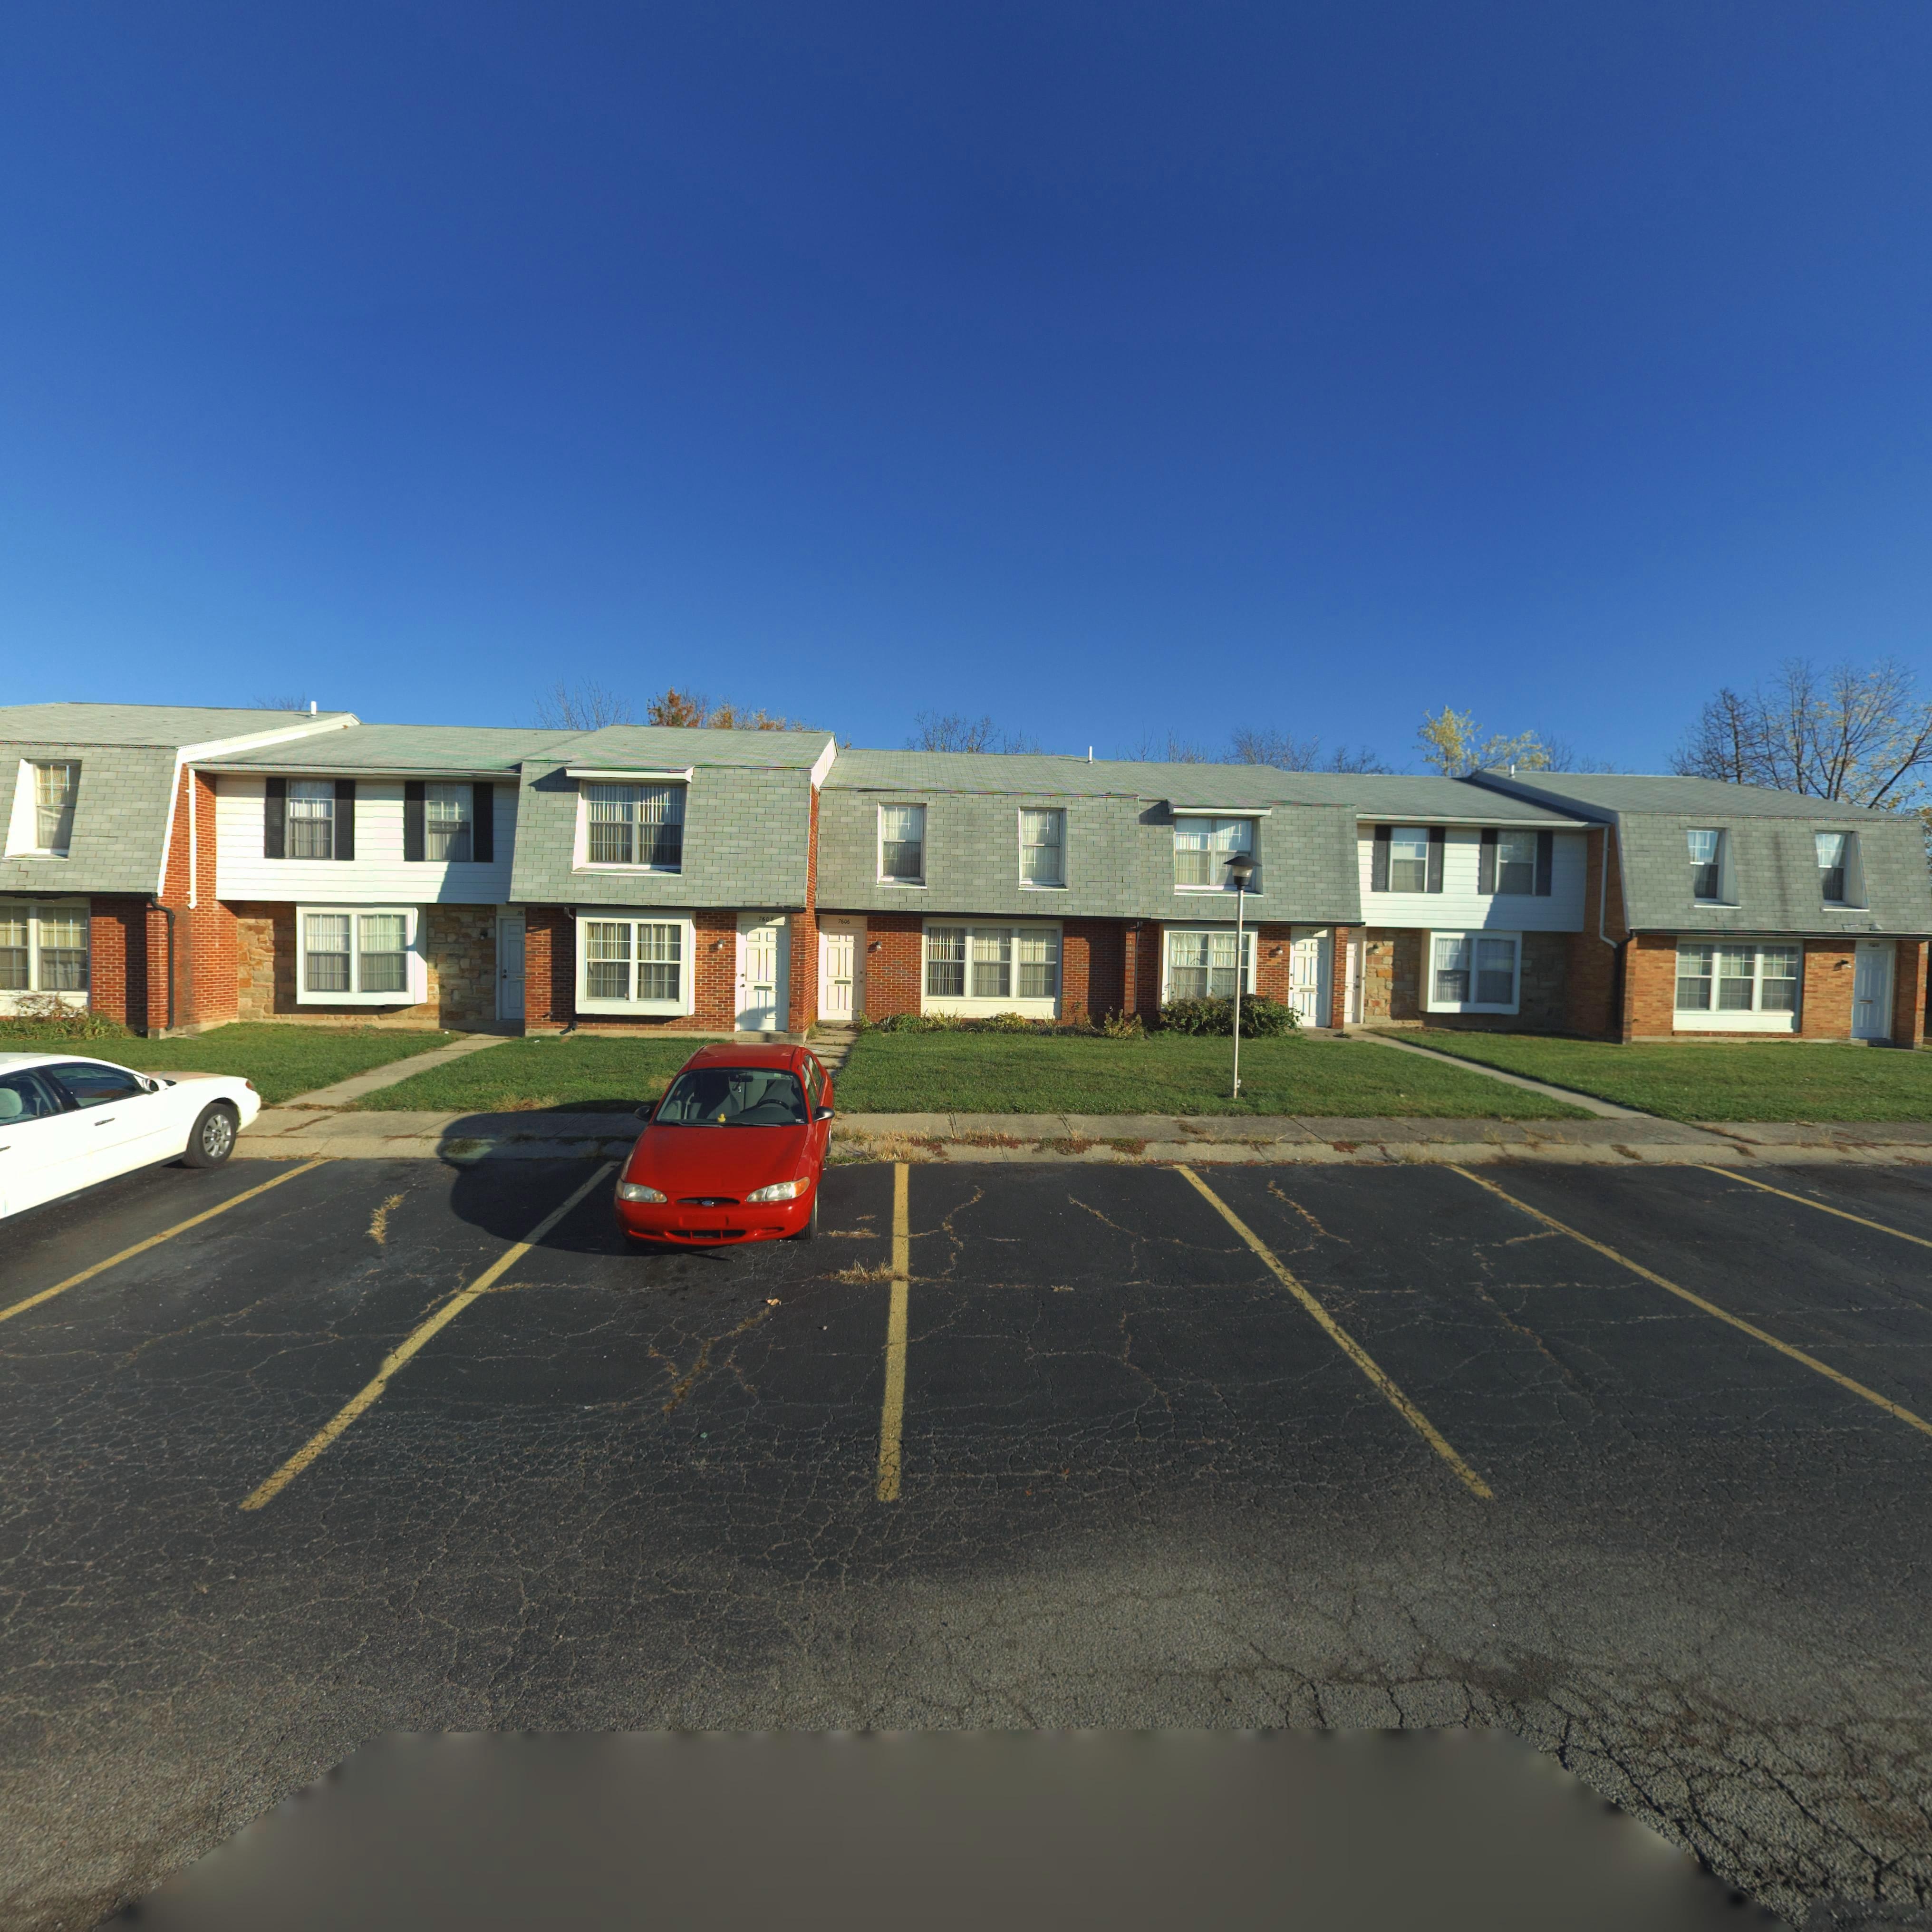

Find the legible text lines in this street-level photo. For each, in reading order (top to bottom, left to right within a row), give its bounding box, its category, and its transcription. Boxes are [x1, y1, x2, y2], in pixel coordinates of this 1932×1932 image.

[516, 910, 524, 917] StreetNumber: 76
[758, 915, 776, 923] StreetNumber: 760*
[837, 918, 851, 925] StreetNumber: 7606
[1305, 929, 1320, 936] StreetNumber: 7*0*